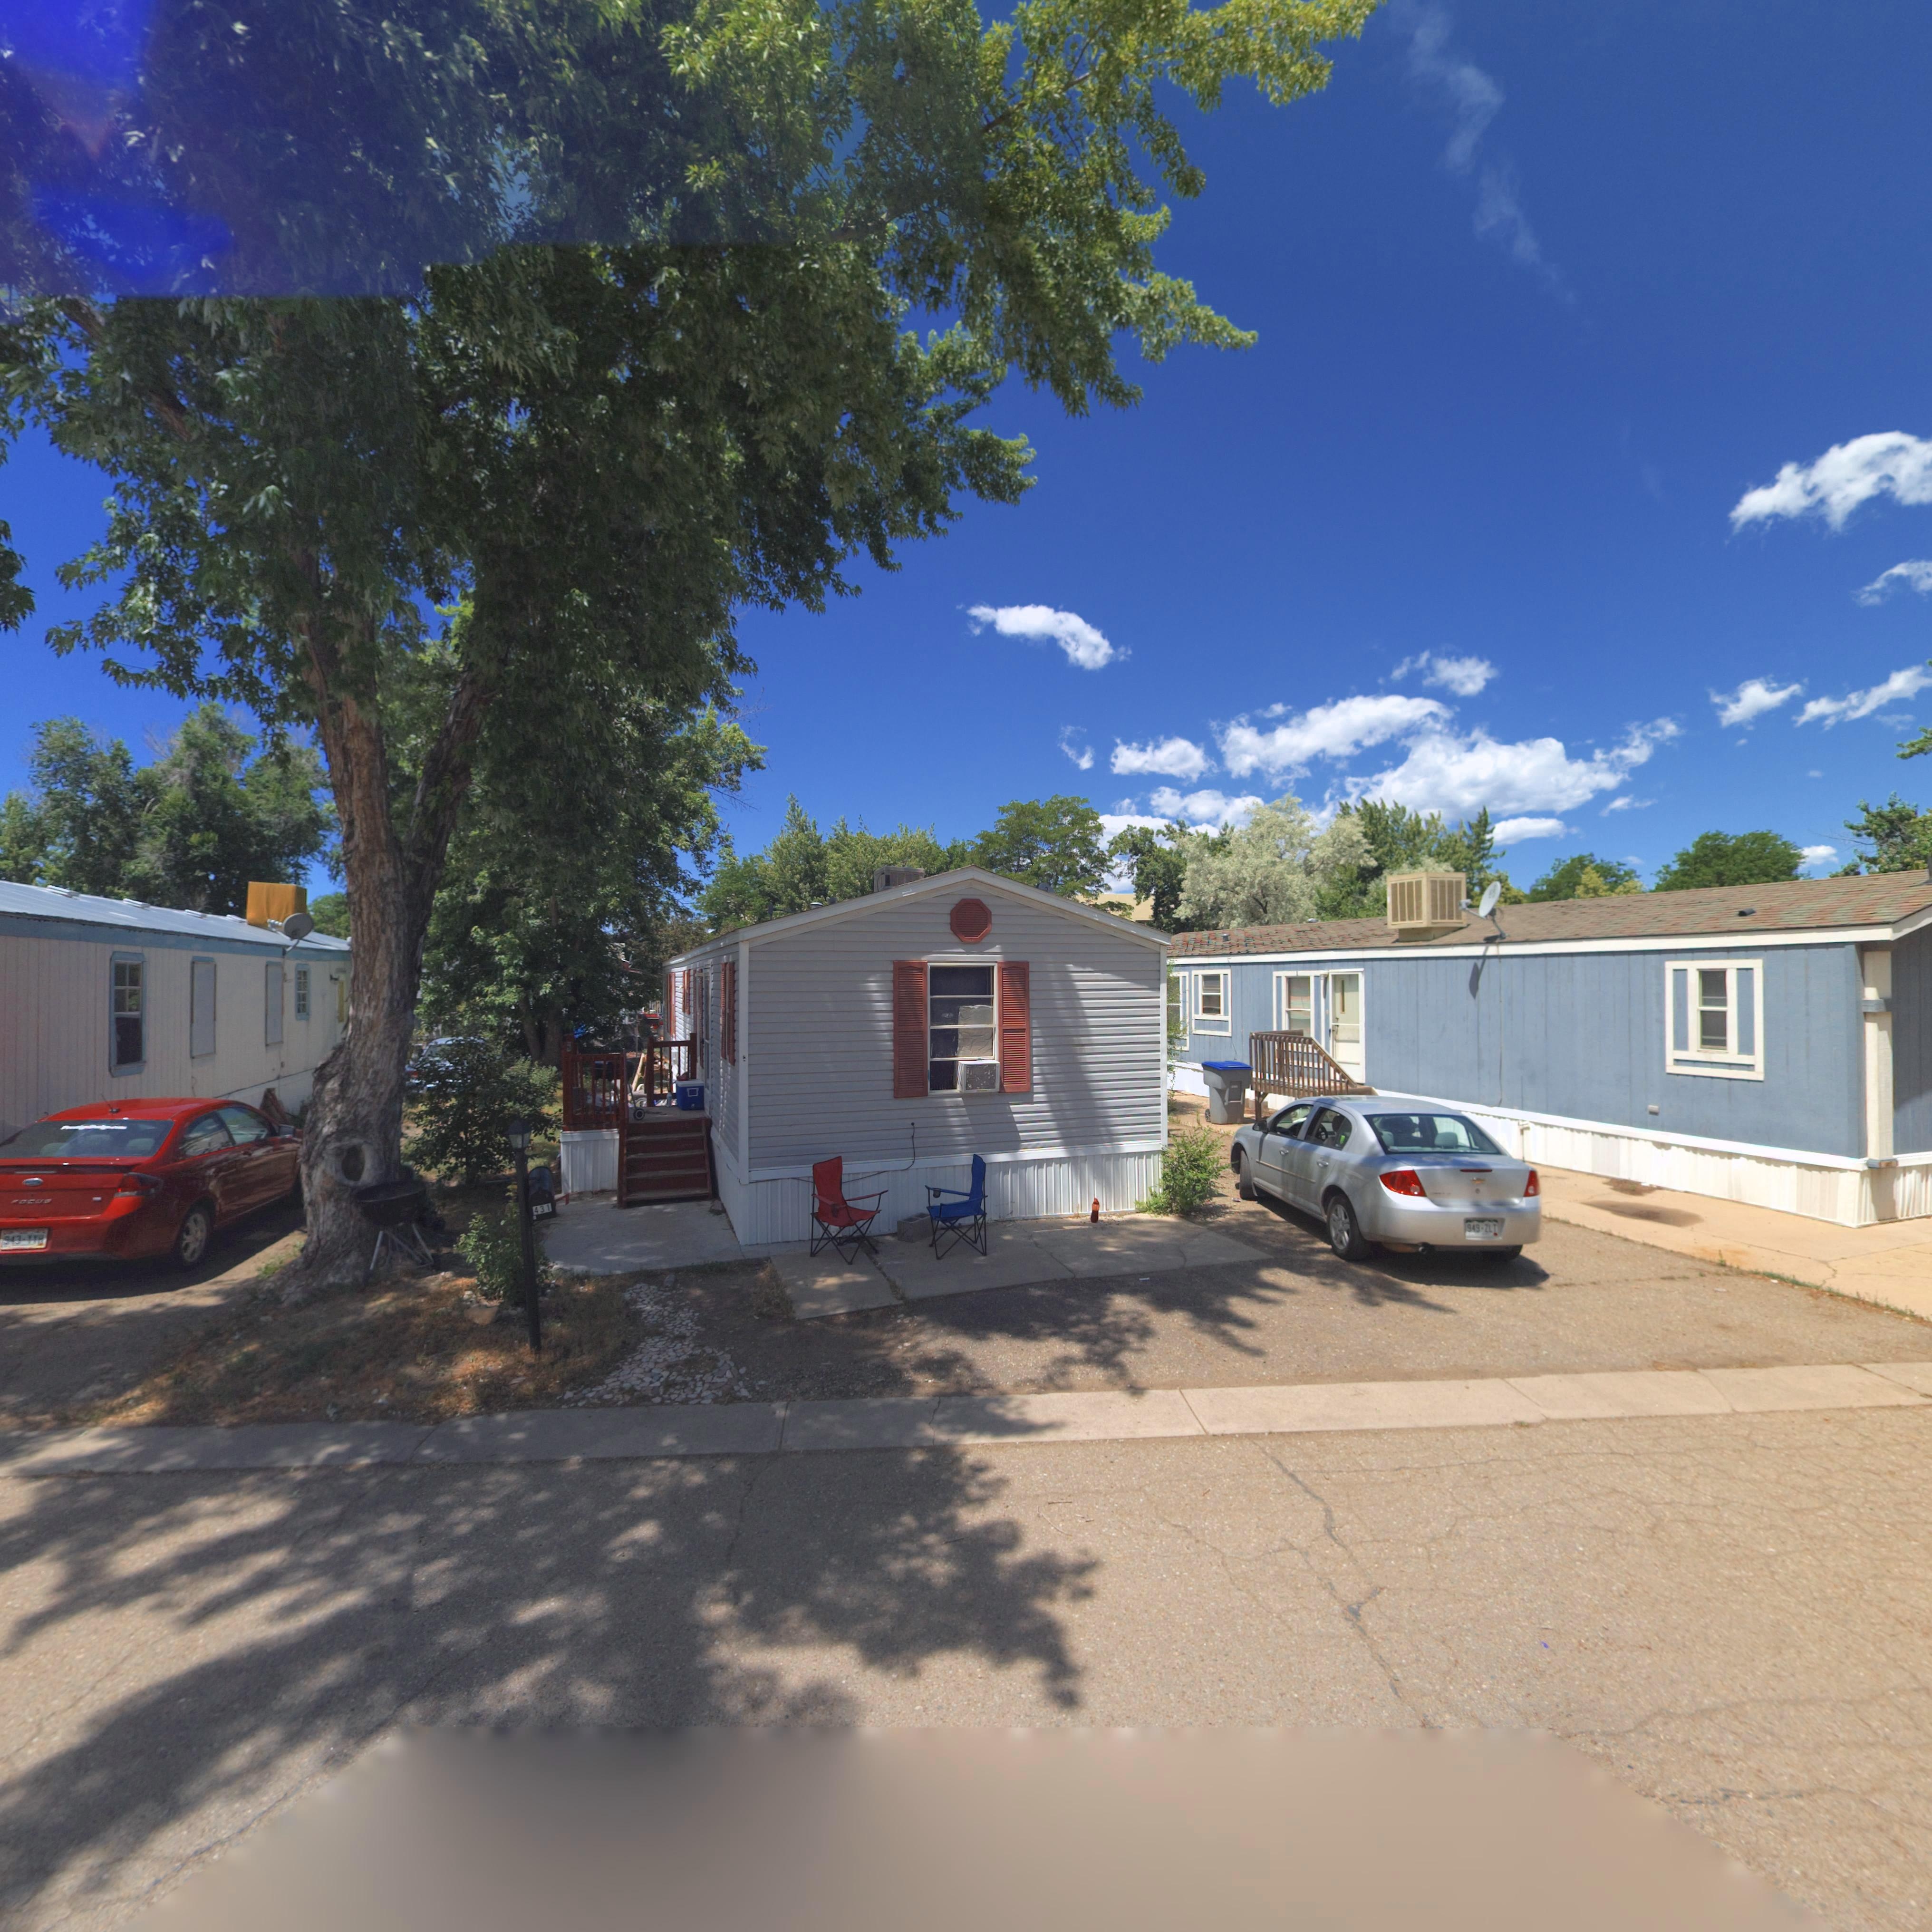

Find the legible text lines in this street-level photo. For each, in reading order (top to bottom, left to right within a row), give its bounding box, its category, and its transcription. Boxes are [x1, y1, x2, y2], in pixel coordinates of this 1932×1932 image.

[534, 1203, 550, 1214] StreetNumber: 431